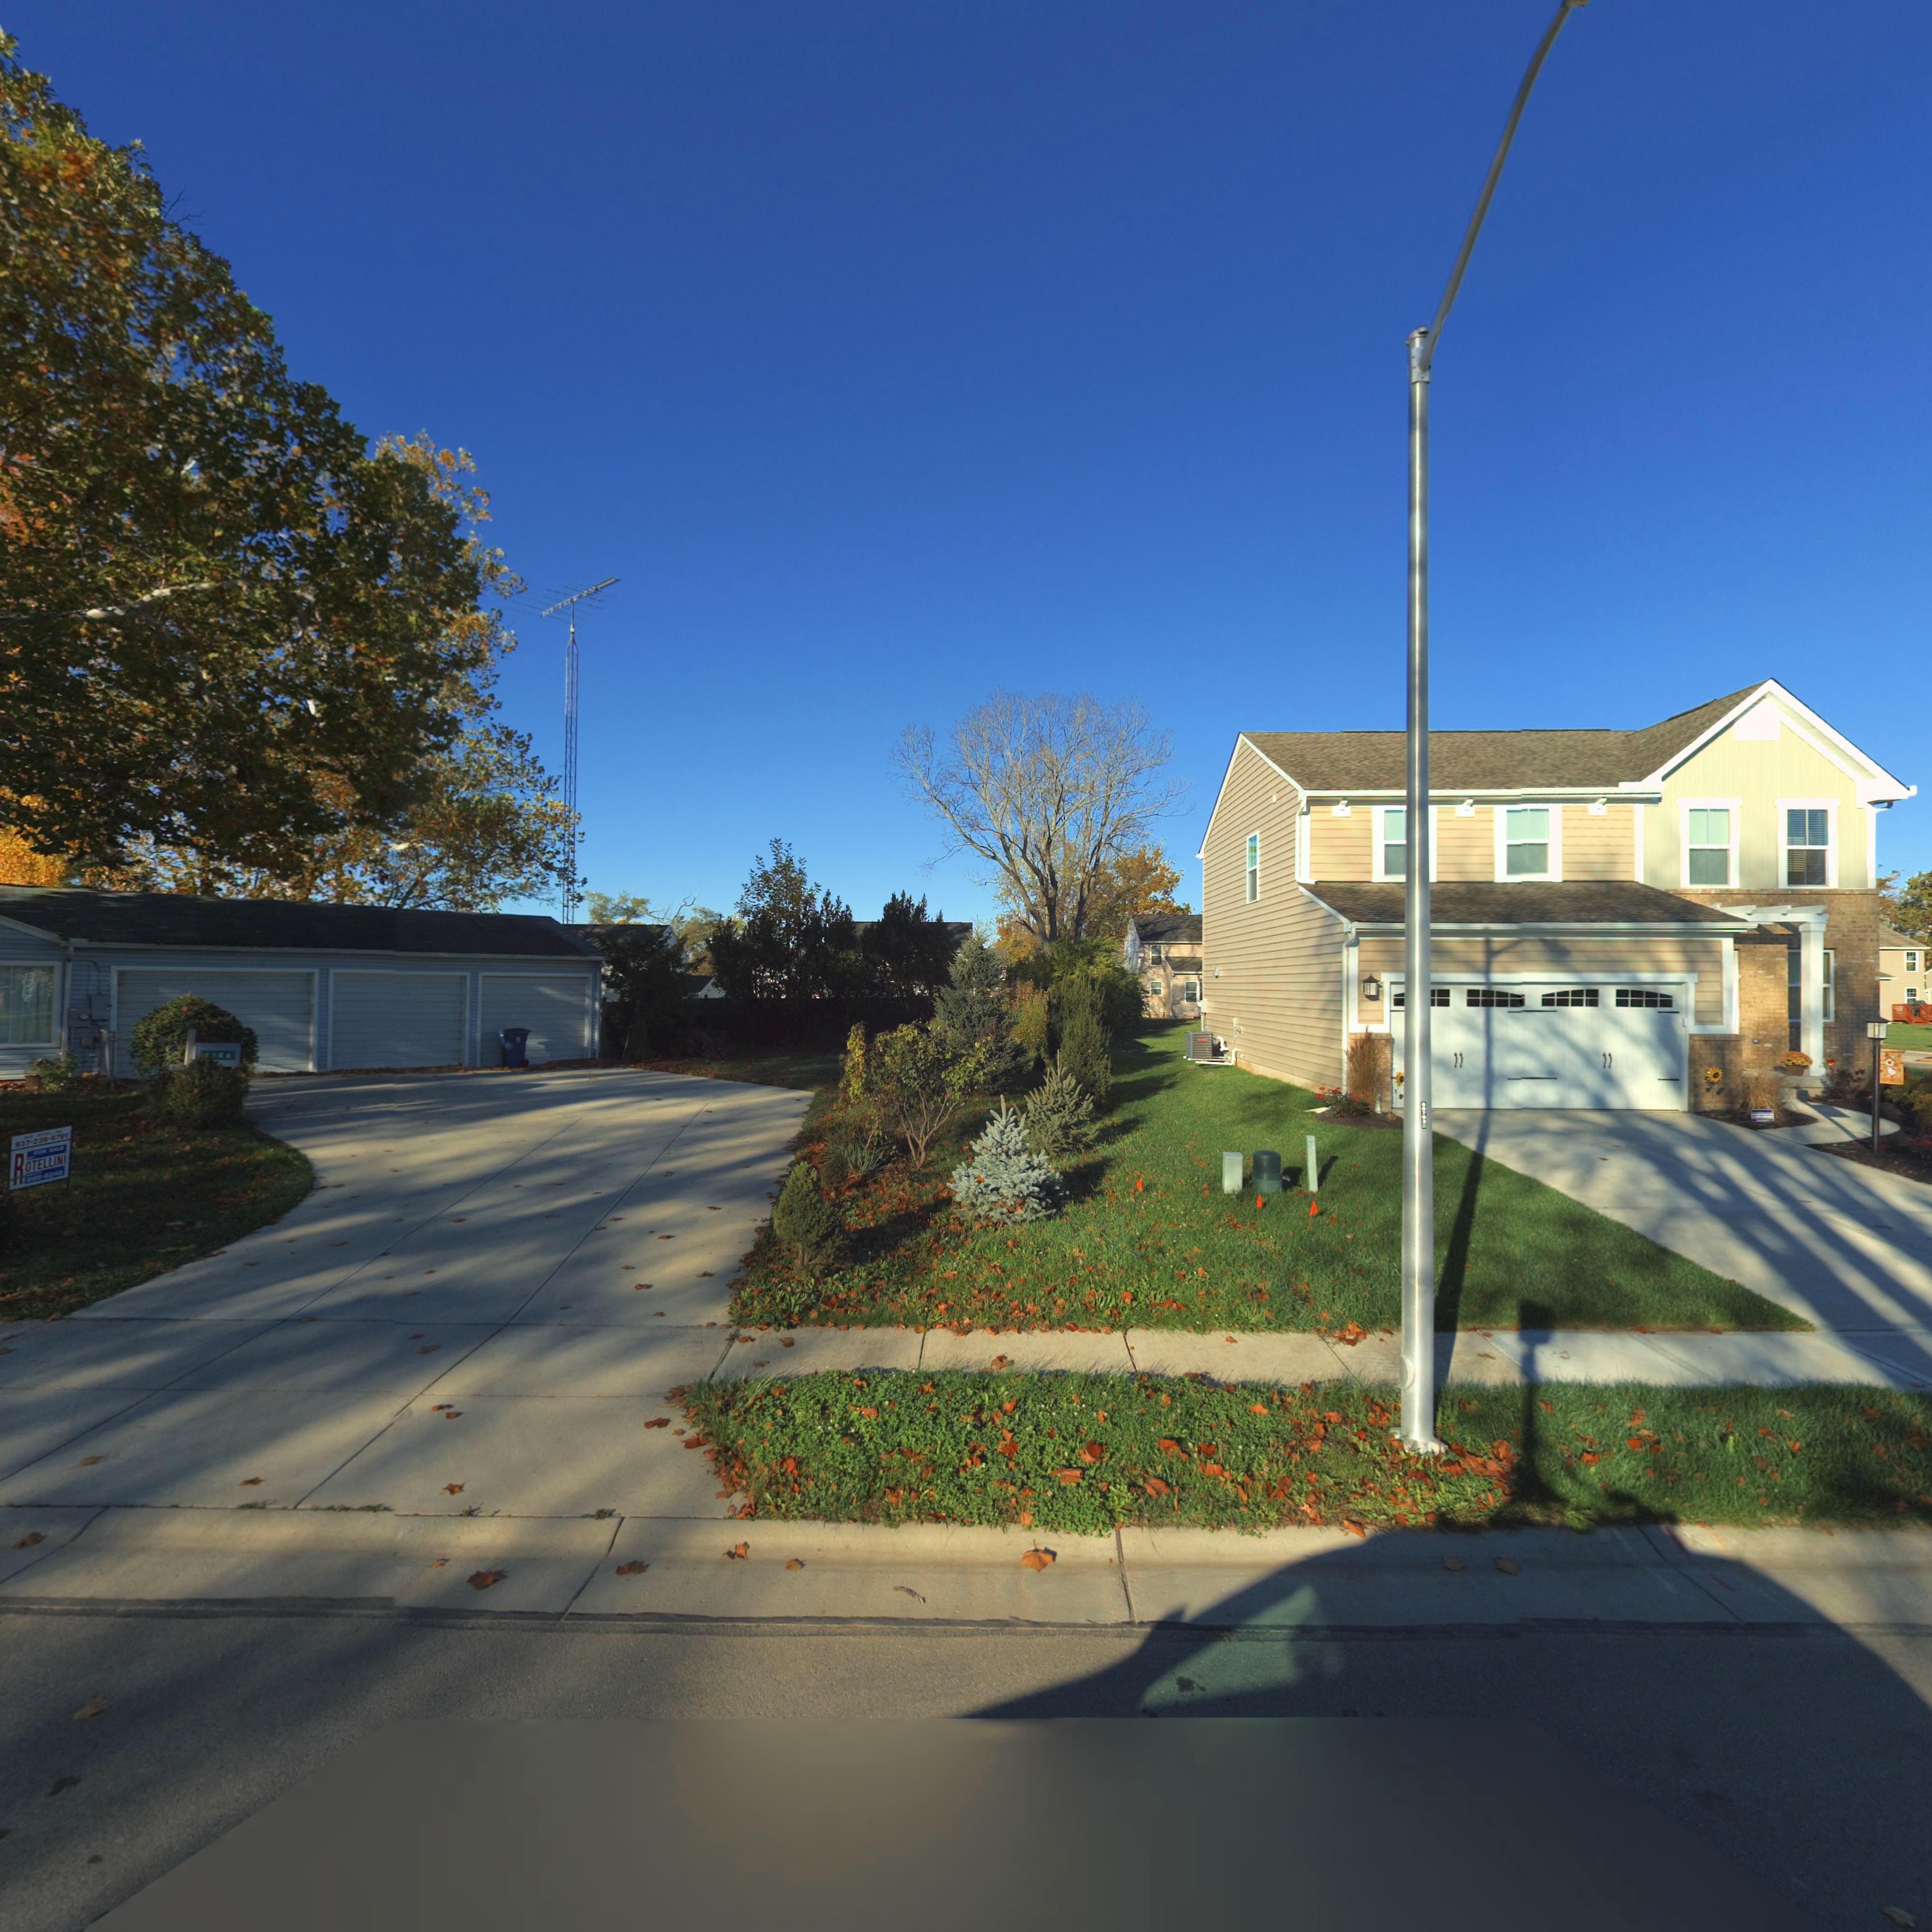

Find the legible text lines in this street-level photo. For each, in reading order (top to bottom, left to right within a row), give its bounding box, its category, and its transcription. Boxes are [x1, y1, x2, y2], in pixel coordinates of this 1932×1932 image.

[204, 1052, 232, 1059] StreetNumber: 1106